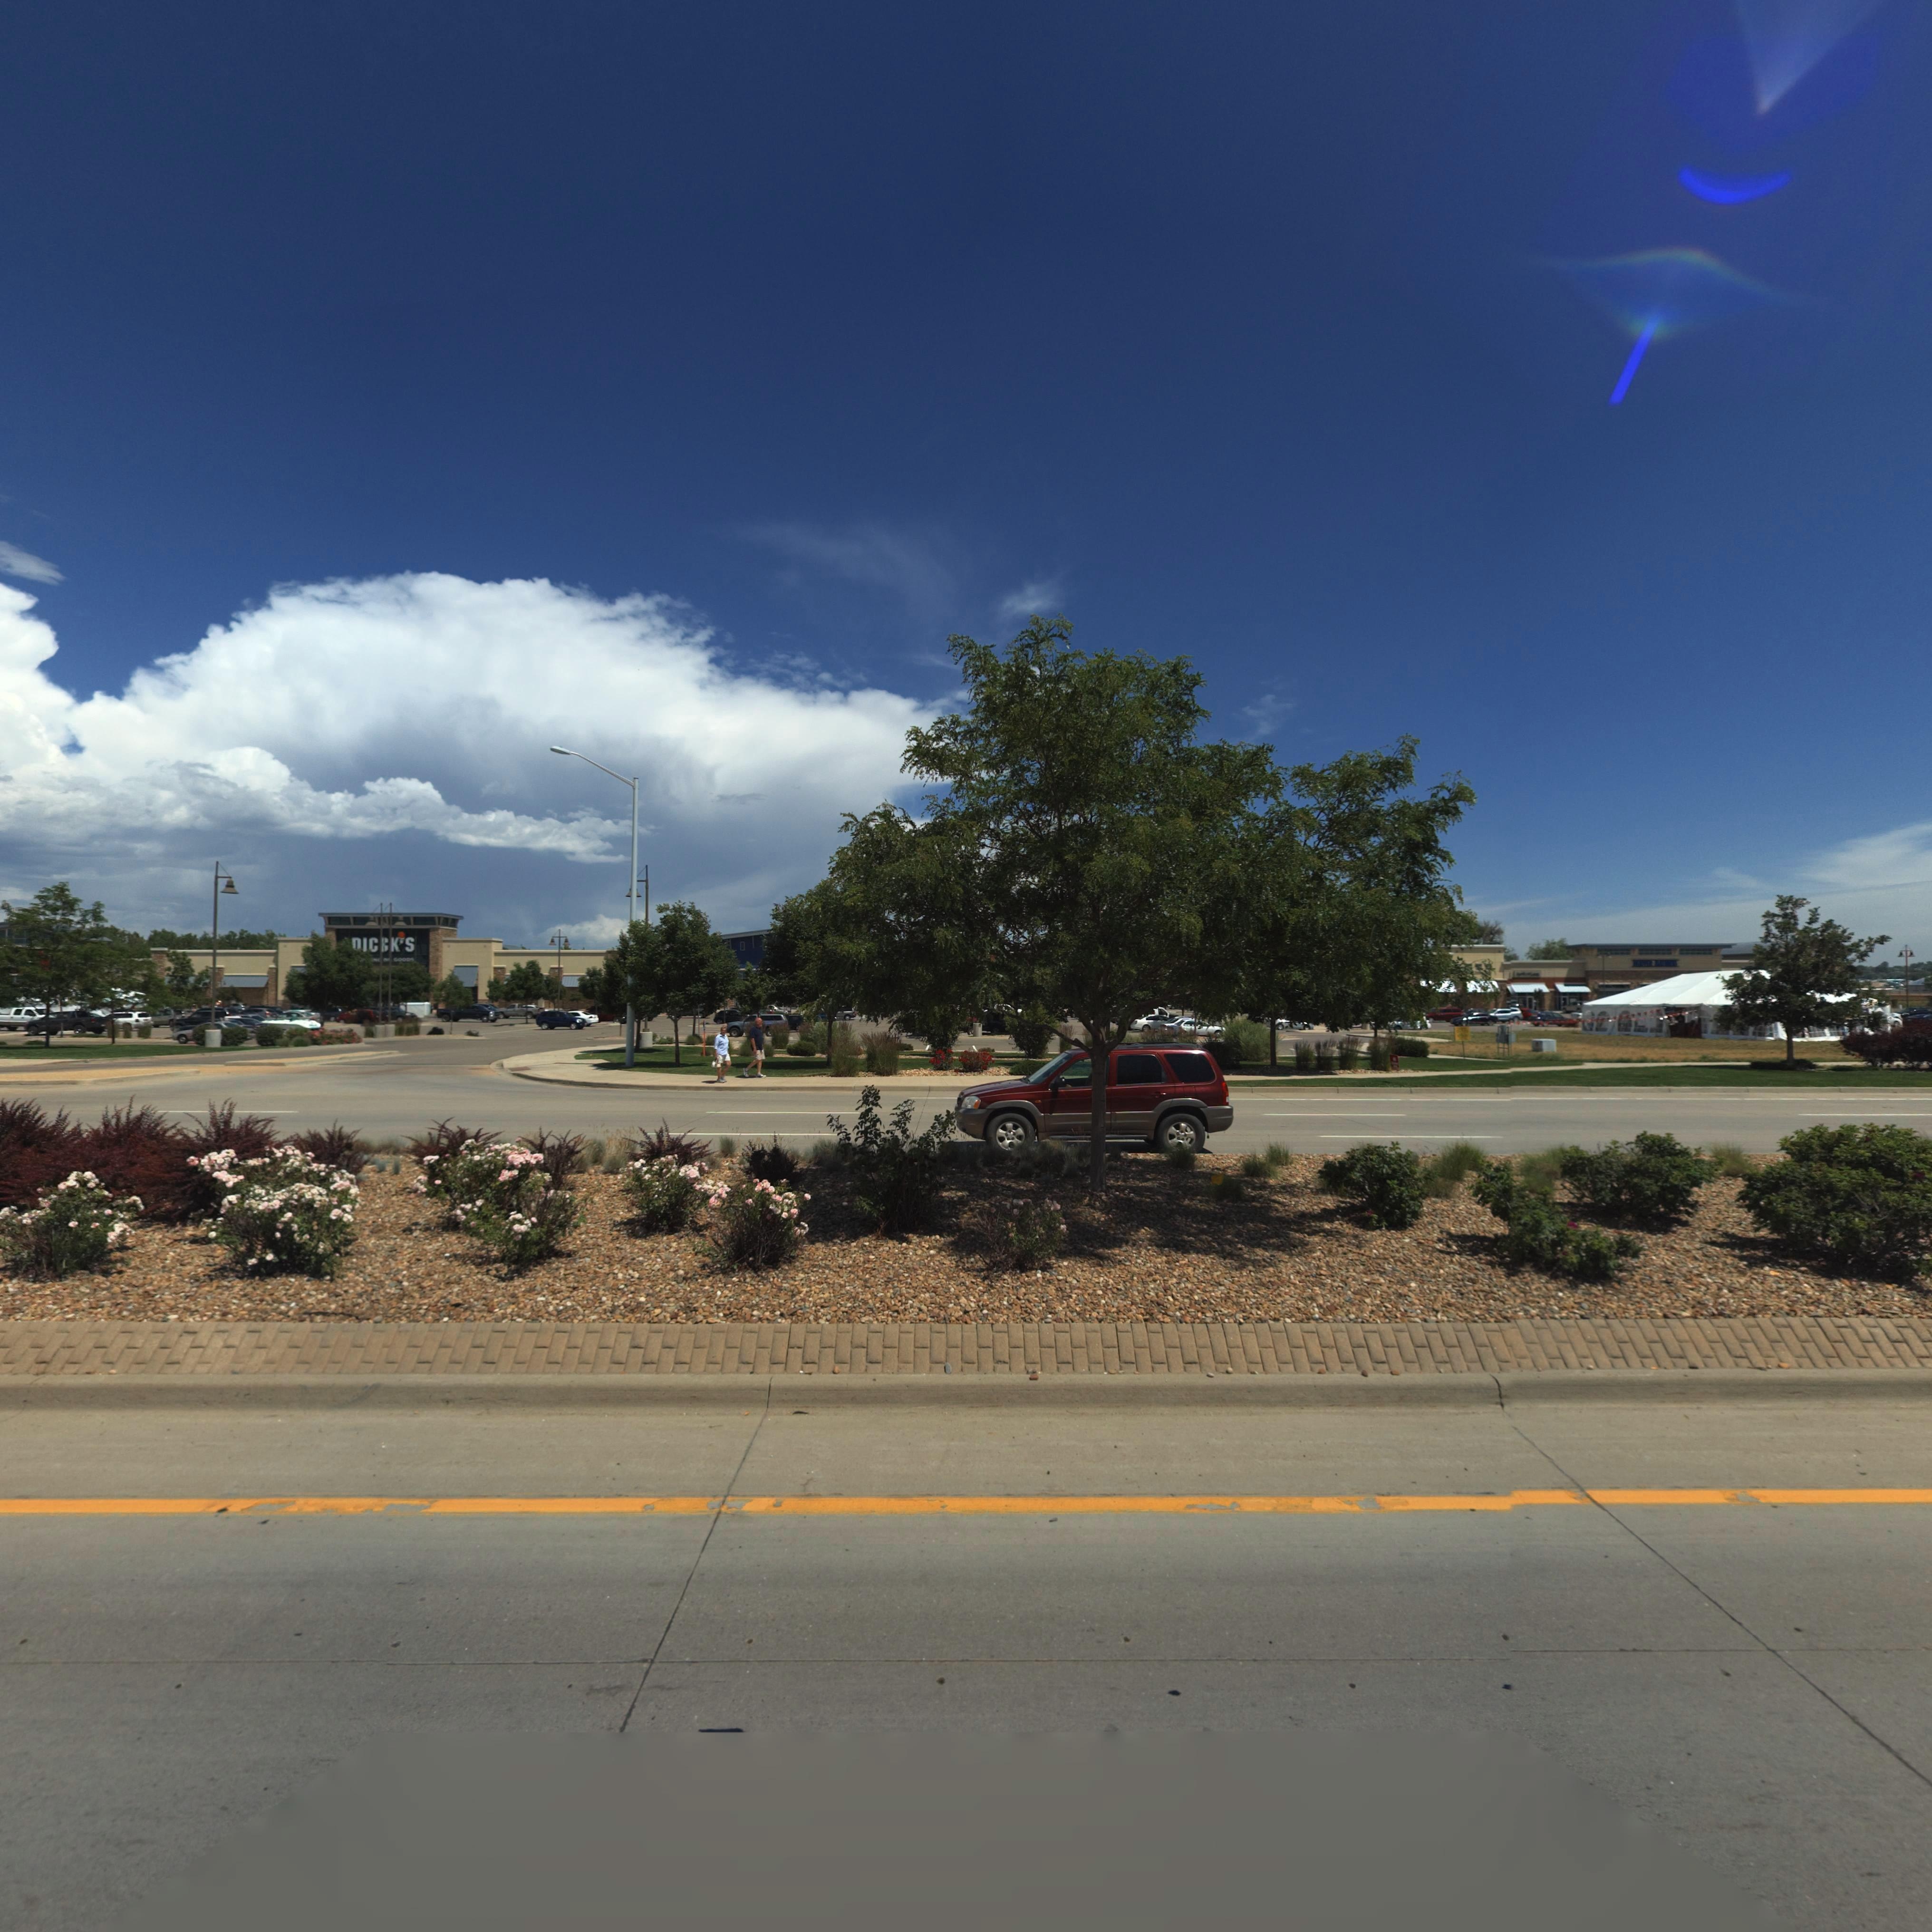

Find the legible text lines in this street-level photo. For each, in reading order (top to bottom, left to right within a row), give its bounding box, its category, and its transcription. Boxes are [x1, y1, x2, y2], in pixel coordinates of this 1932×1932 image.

[351, 930, 415, 953] BusinessName: *IC*K*S